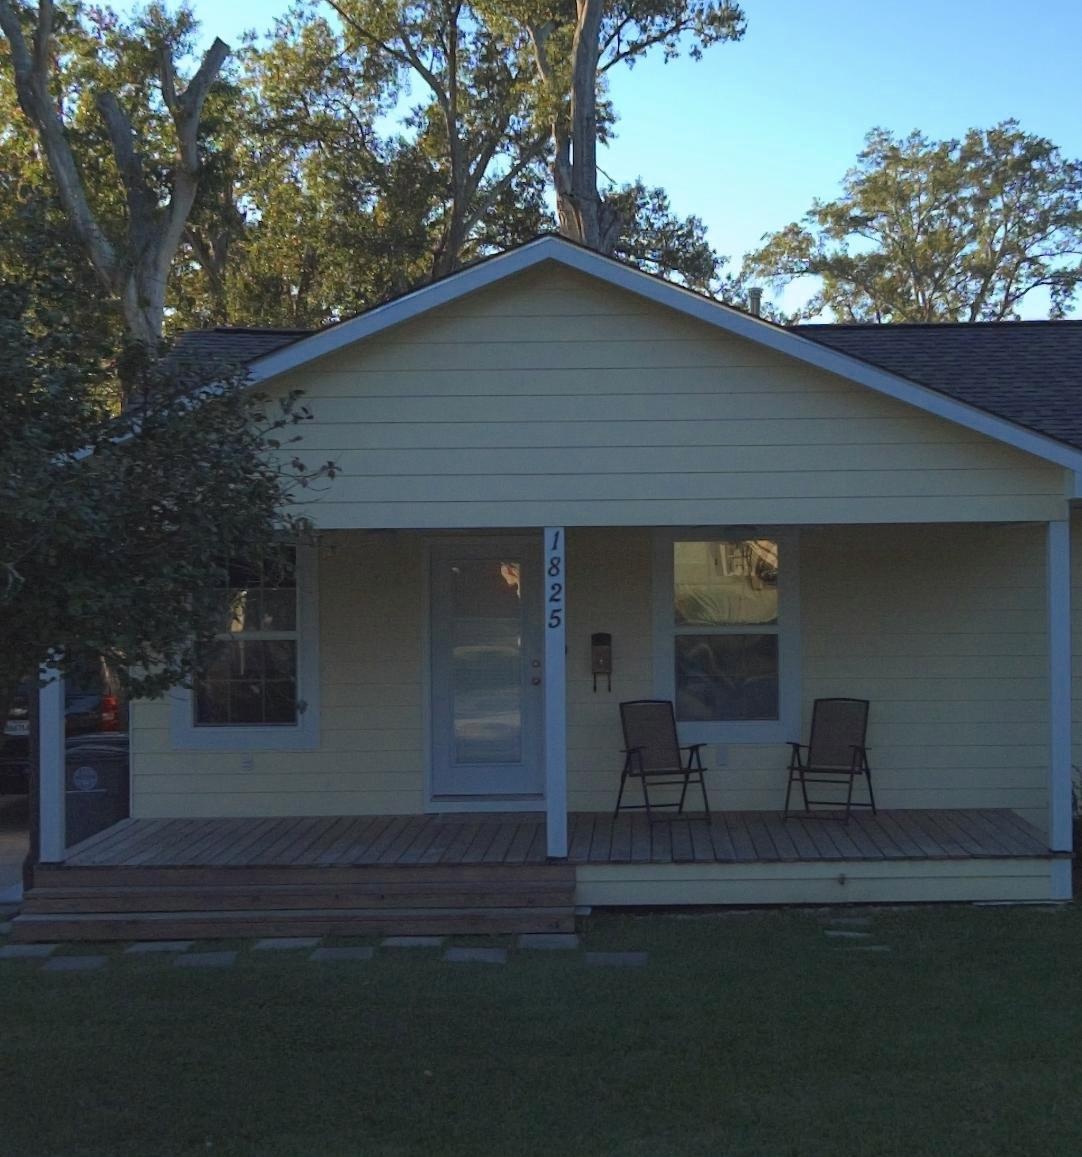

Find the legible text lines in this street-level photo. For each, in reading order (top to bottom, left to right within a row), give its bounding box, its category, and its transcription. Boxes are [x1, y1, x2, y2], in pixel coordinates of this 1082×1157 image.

[546, 527, 564, 630] StreetNumber: 1825